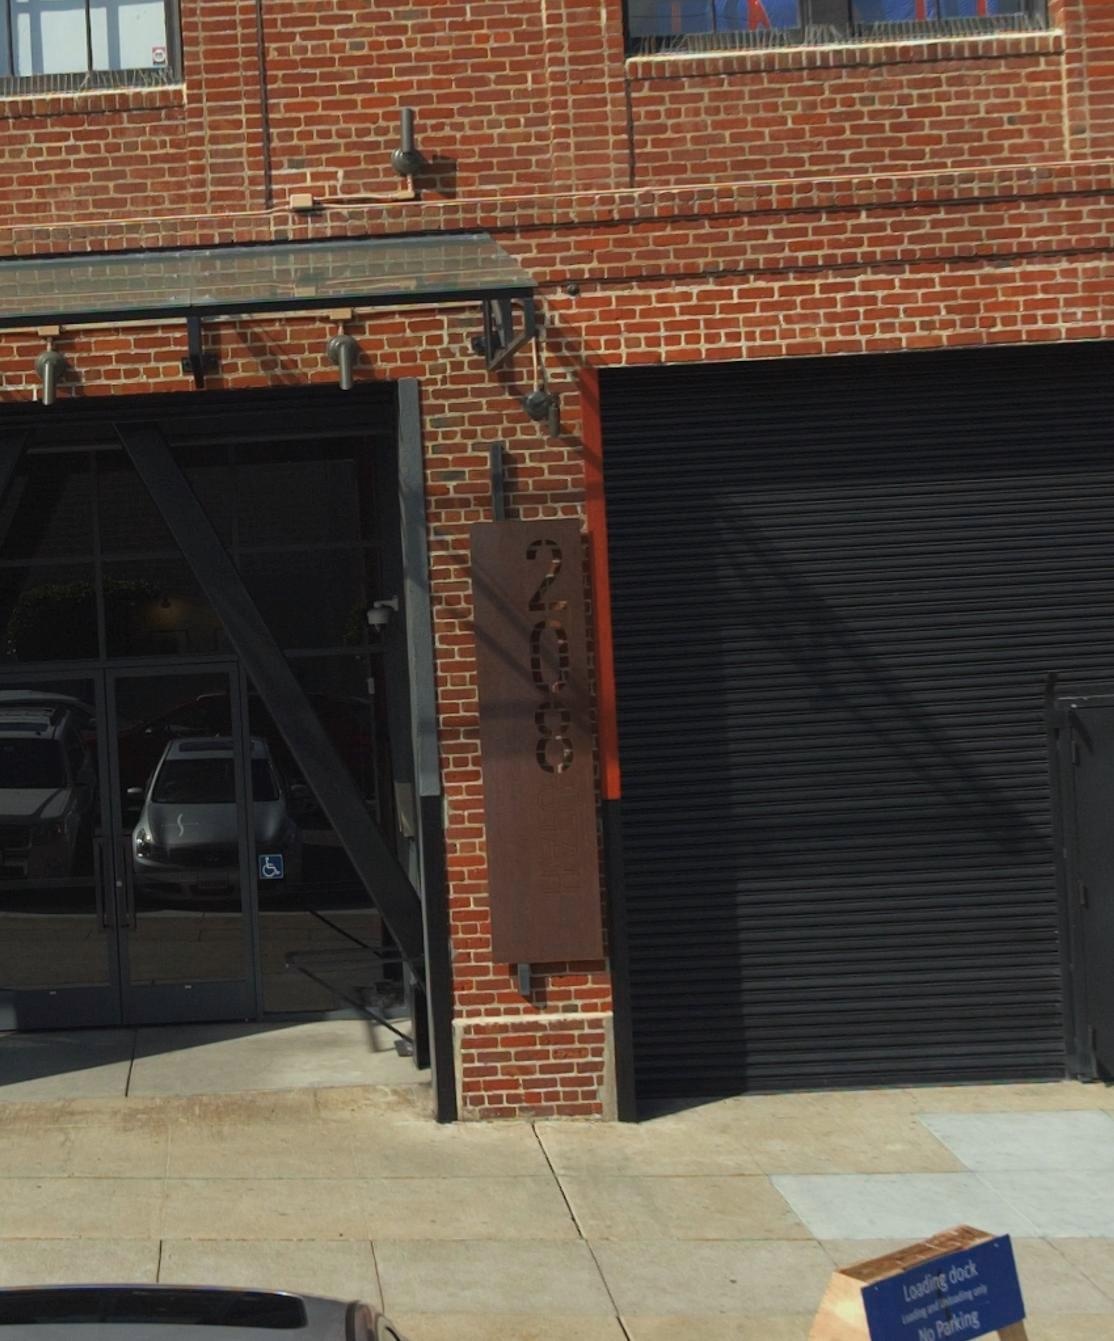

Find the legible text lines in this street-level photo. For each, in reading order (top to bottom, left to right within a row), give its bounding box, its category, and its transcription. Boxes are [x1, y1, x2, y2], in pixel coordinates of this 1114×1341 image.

[520, 534, 580, 779] StreetNumber: 208
[174, 810, 187, 839] None: S
[896, 1255, 985, 1307] None: Loading dock
[931, 1307, 985, 1341] None: Parking